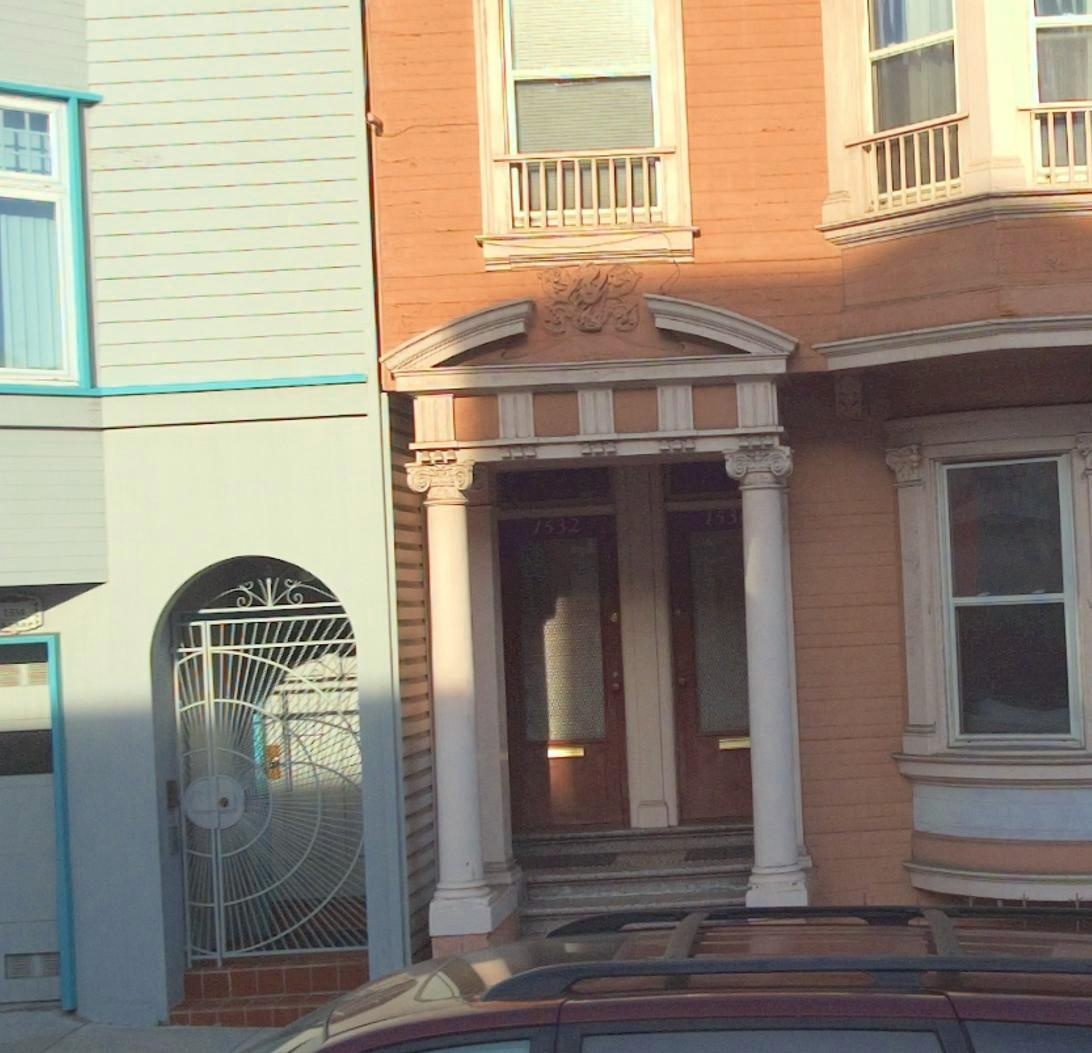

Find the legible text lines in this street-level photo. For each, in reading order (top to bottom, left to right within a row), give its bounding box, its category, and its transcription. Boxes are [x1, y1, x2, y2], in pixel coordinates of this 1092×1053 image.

[530, 515, 581, 539] StreetNumber: 1532
[702, 507, 738, 527] StreetNumber: 153